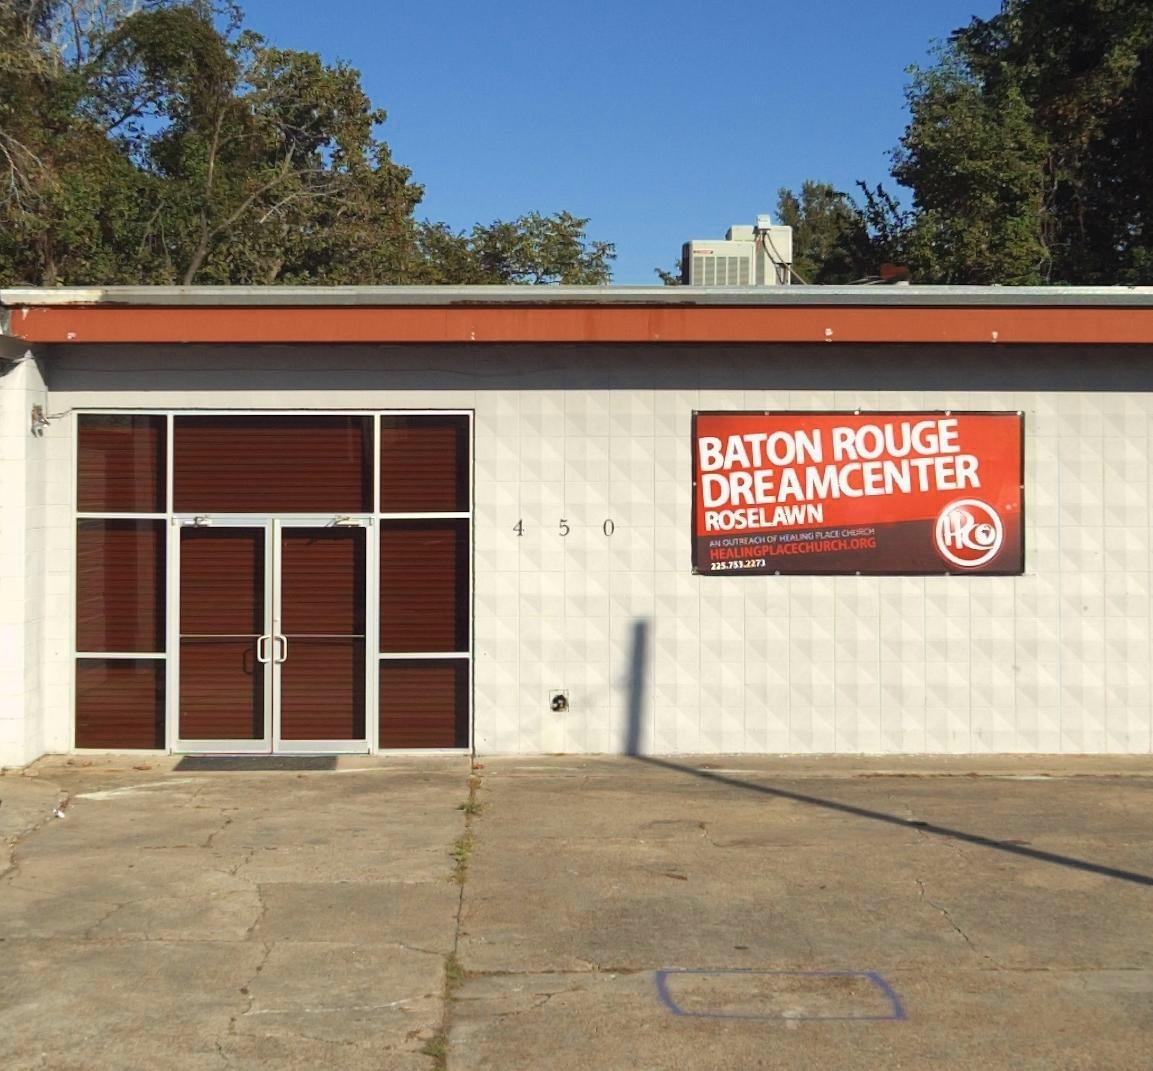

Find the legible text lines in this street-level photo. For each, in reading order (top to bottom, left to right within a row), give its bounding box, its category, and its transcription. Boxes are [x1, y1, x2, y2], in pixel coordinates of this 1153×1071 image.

[696, 416, 962, 474] BusinessName: BATON ROUGE
[699, 451, 984, 511] BusinessName: DREAMCENTER
[510, 515, 618, 540] StreetNumber: 450
[701, 499, 826, 536] None: ROSELAWN
[706, 525, 879, 549] None: AN OUTREACH OF HEALING PLACE CH****
[706, 534, 879, 563] None: HEALINGPLACECHURCH.ORG
[708, 556, 768, 573] None: 225.753.2273